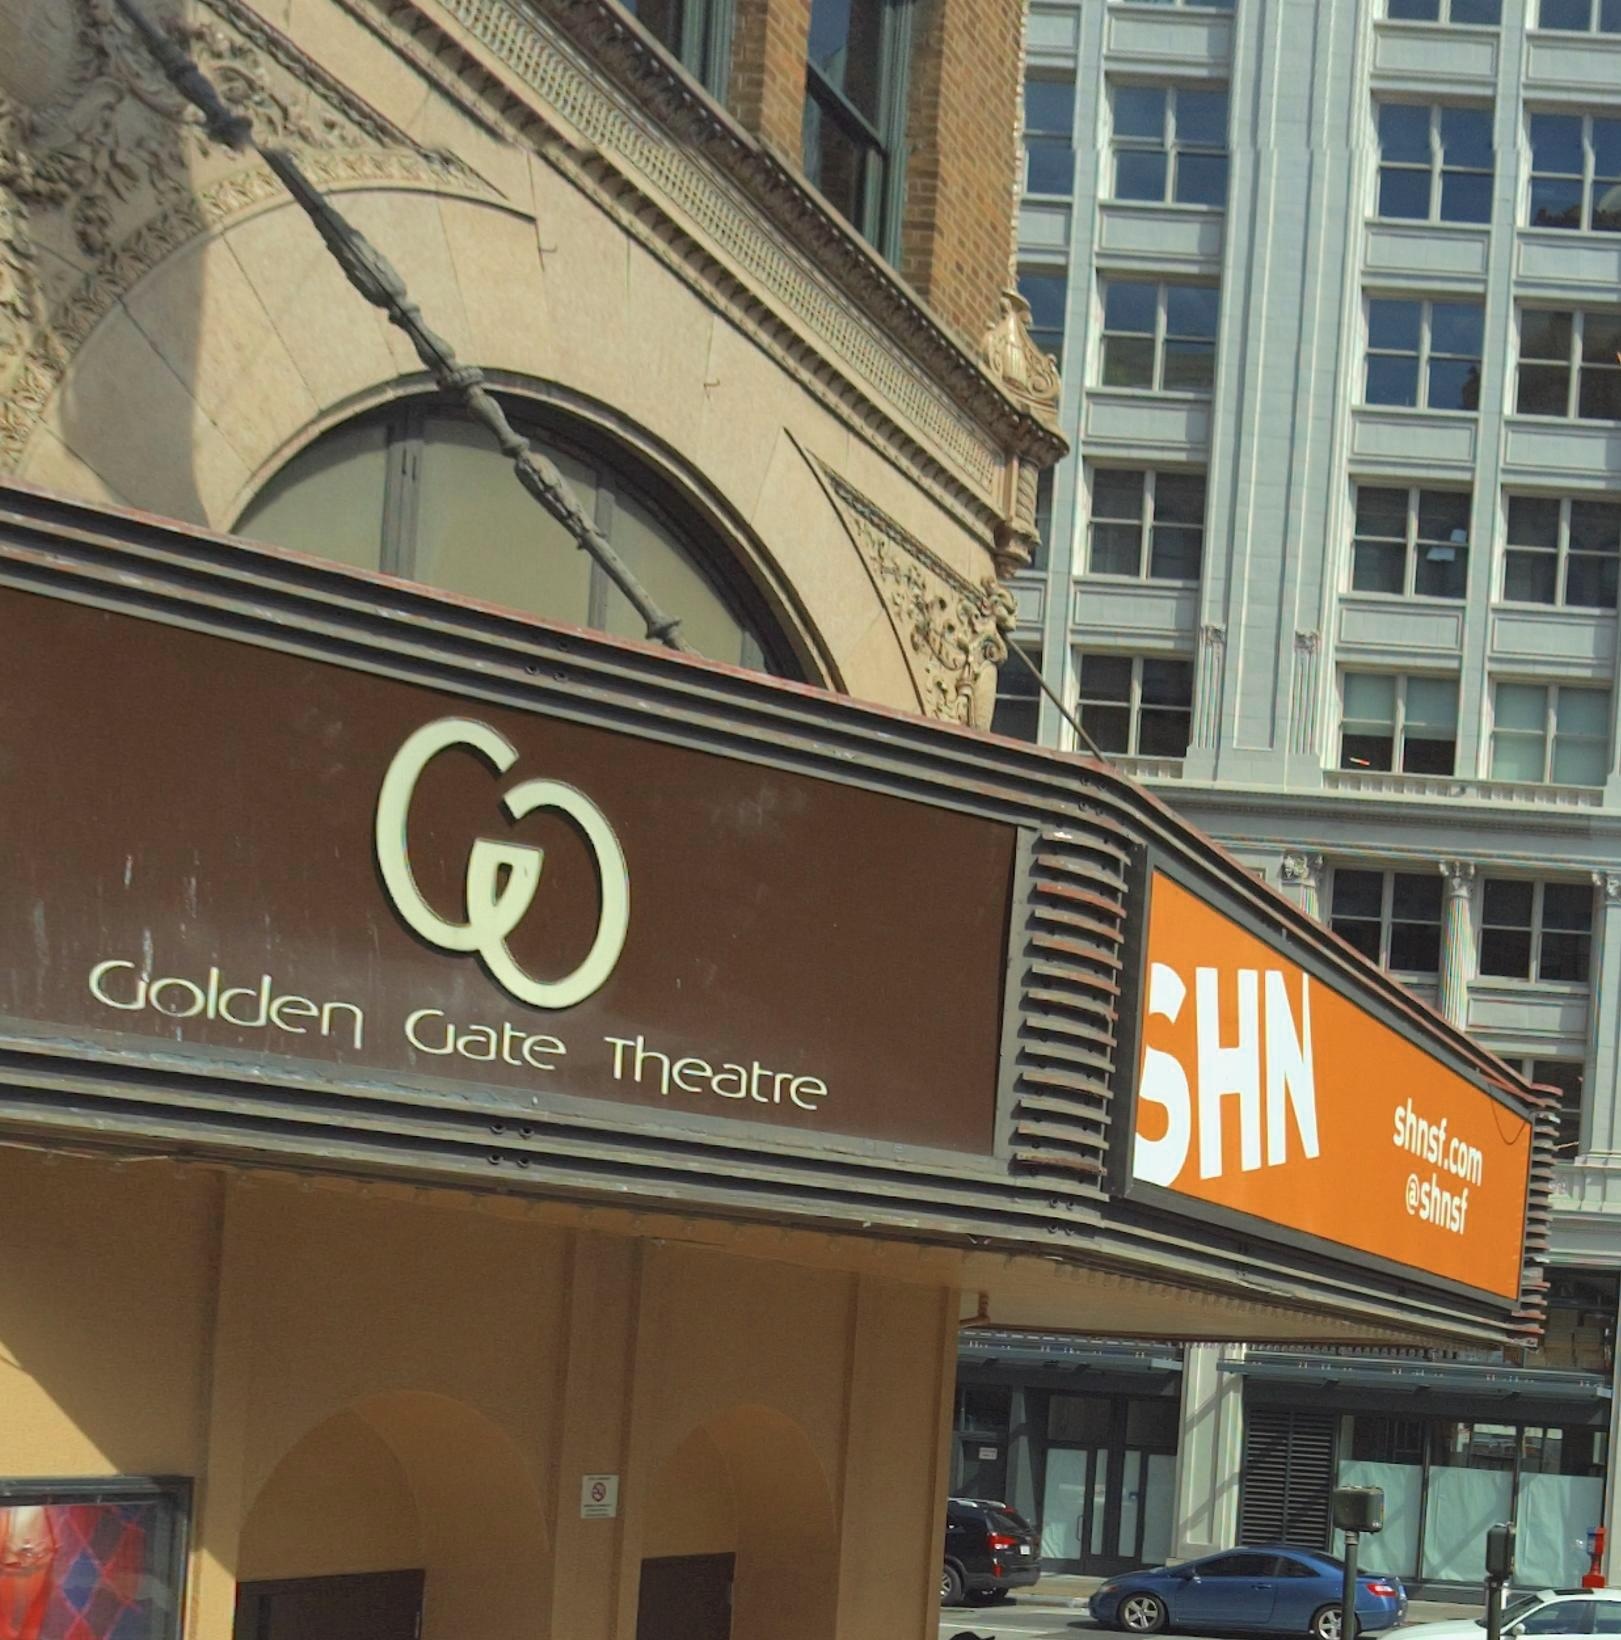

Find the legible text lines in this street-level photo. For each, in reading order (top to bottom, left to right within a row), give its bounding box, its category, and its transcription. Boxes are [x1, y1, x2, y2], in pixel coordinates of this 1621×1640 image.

[86, 956, 832, 1115] BusinessName: Golden Gate Theatre
[1130, 959, 1322, 1191] BusinessName: *HN
[1401, 1169, 1470, 1243] None: @shnsf
[1384, 1095, 1488, 1196] None: shnsf.com